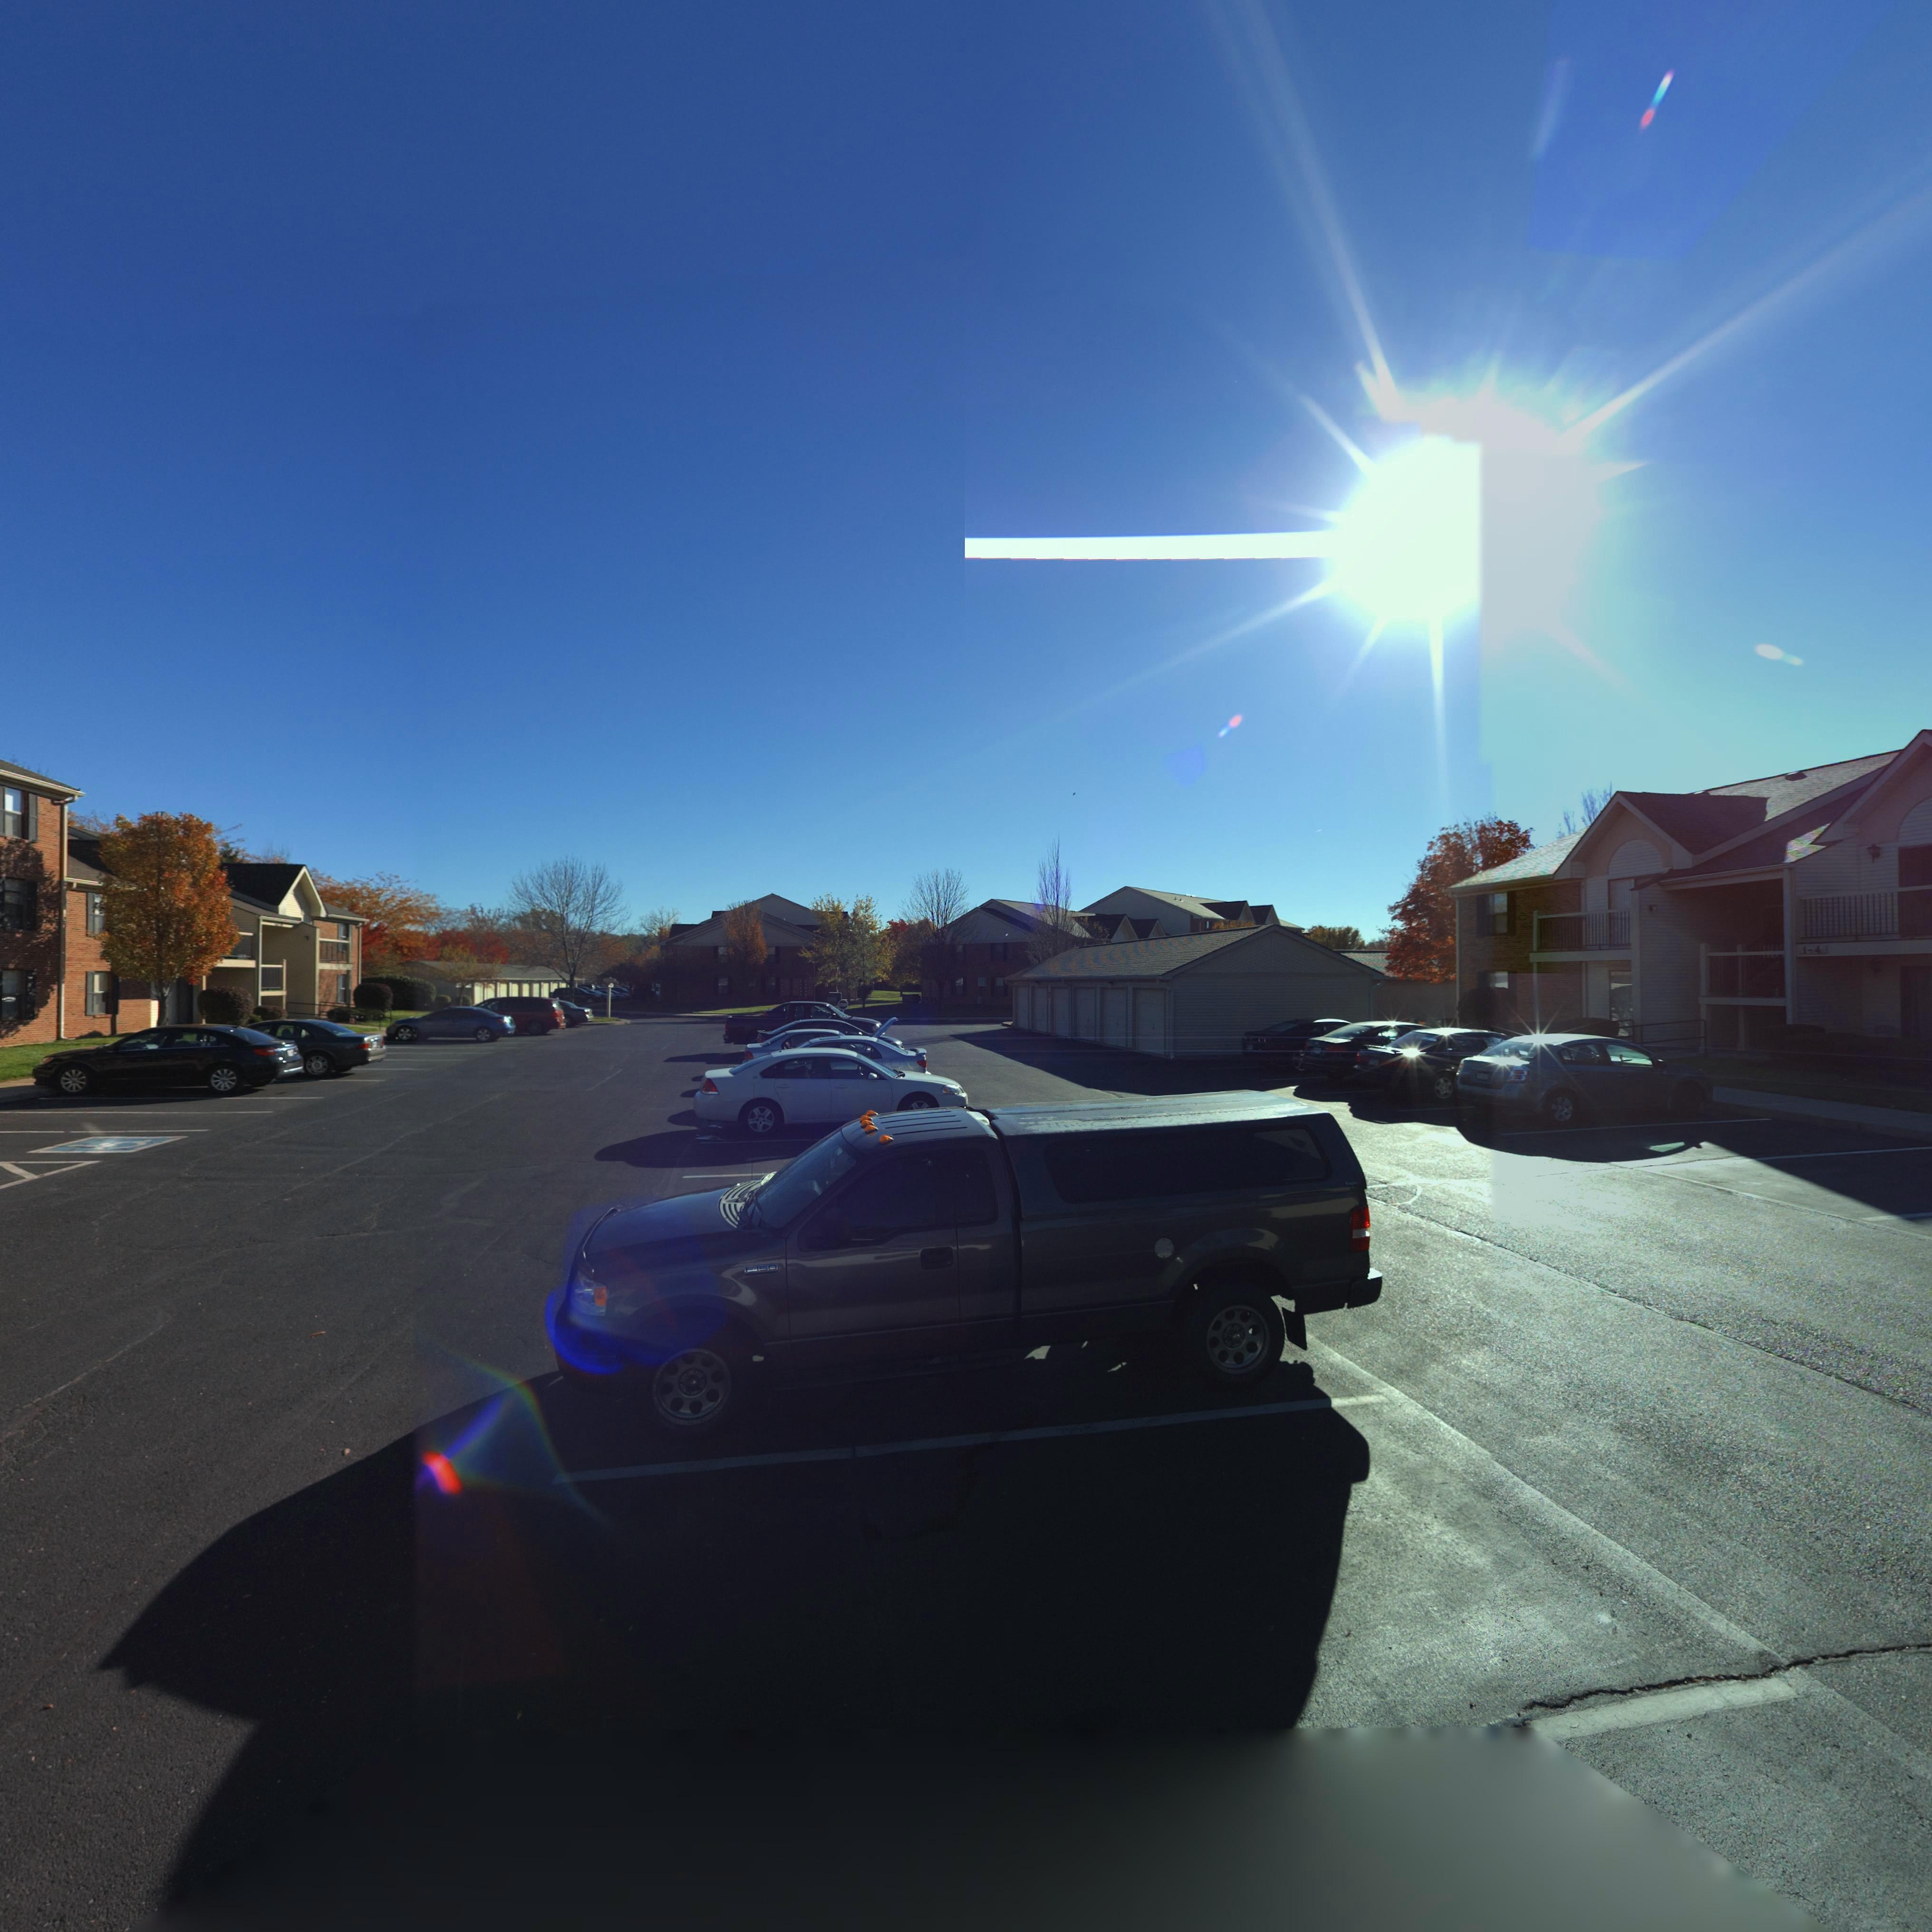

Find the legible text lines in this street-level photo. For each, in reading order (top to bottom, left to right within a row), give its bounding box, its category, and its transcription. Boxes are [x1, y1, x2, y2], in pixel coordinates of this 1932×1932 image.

[1802, 945, 1821, 955] StreetNumber: 1-4